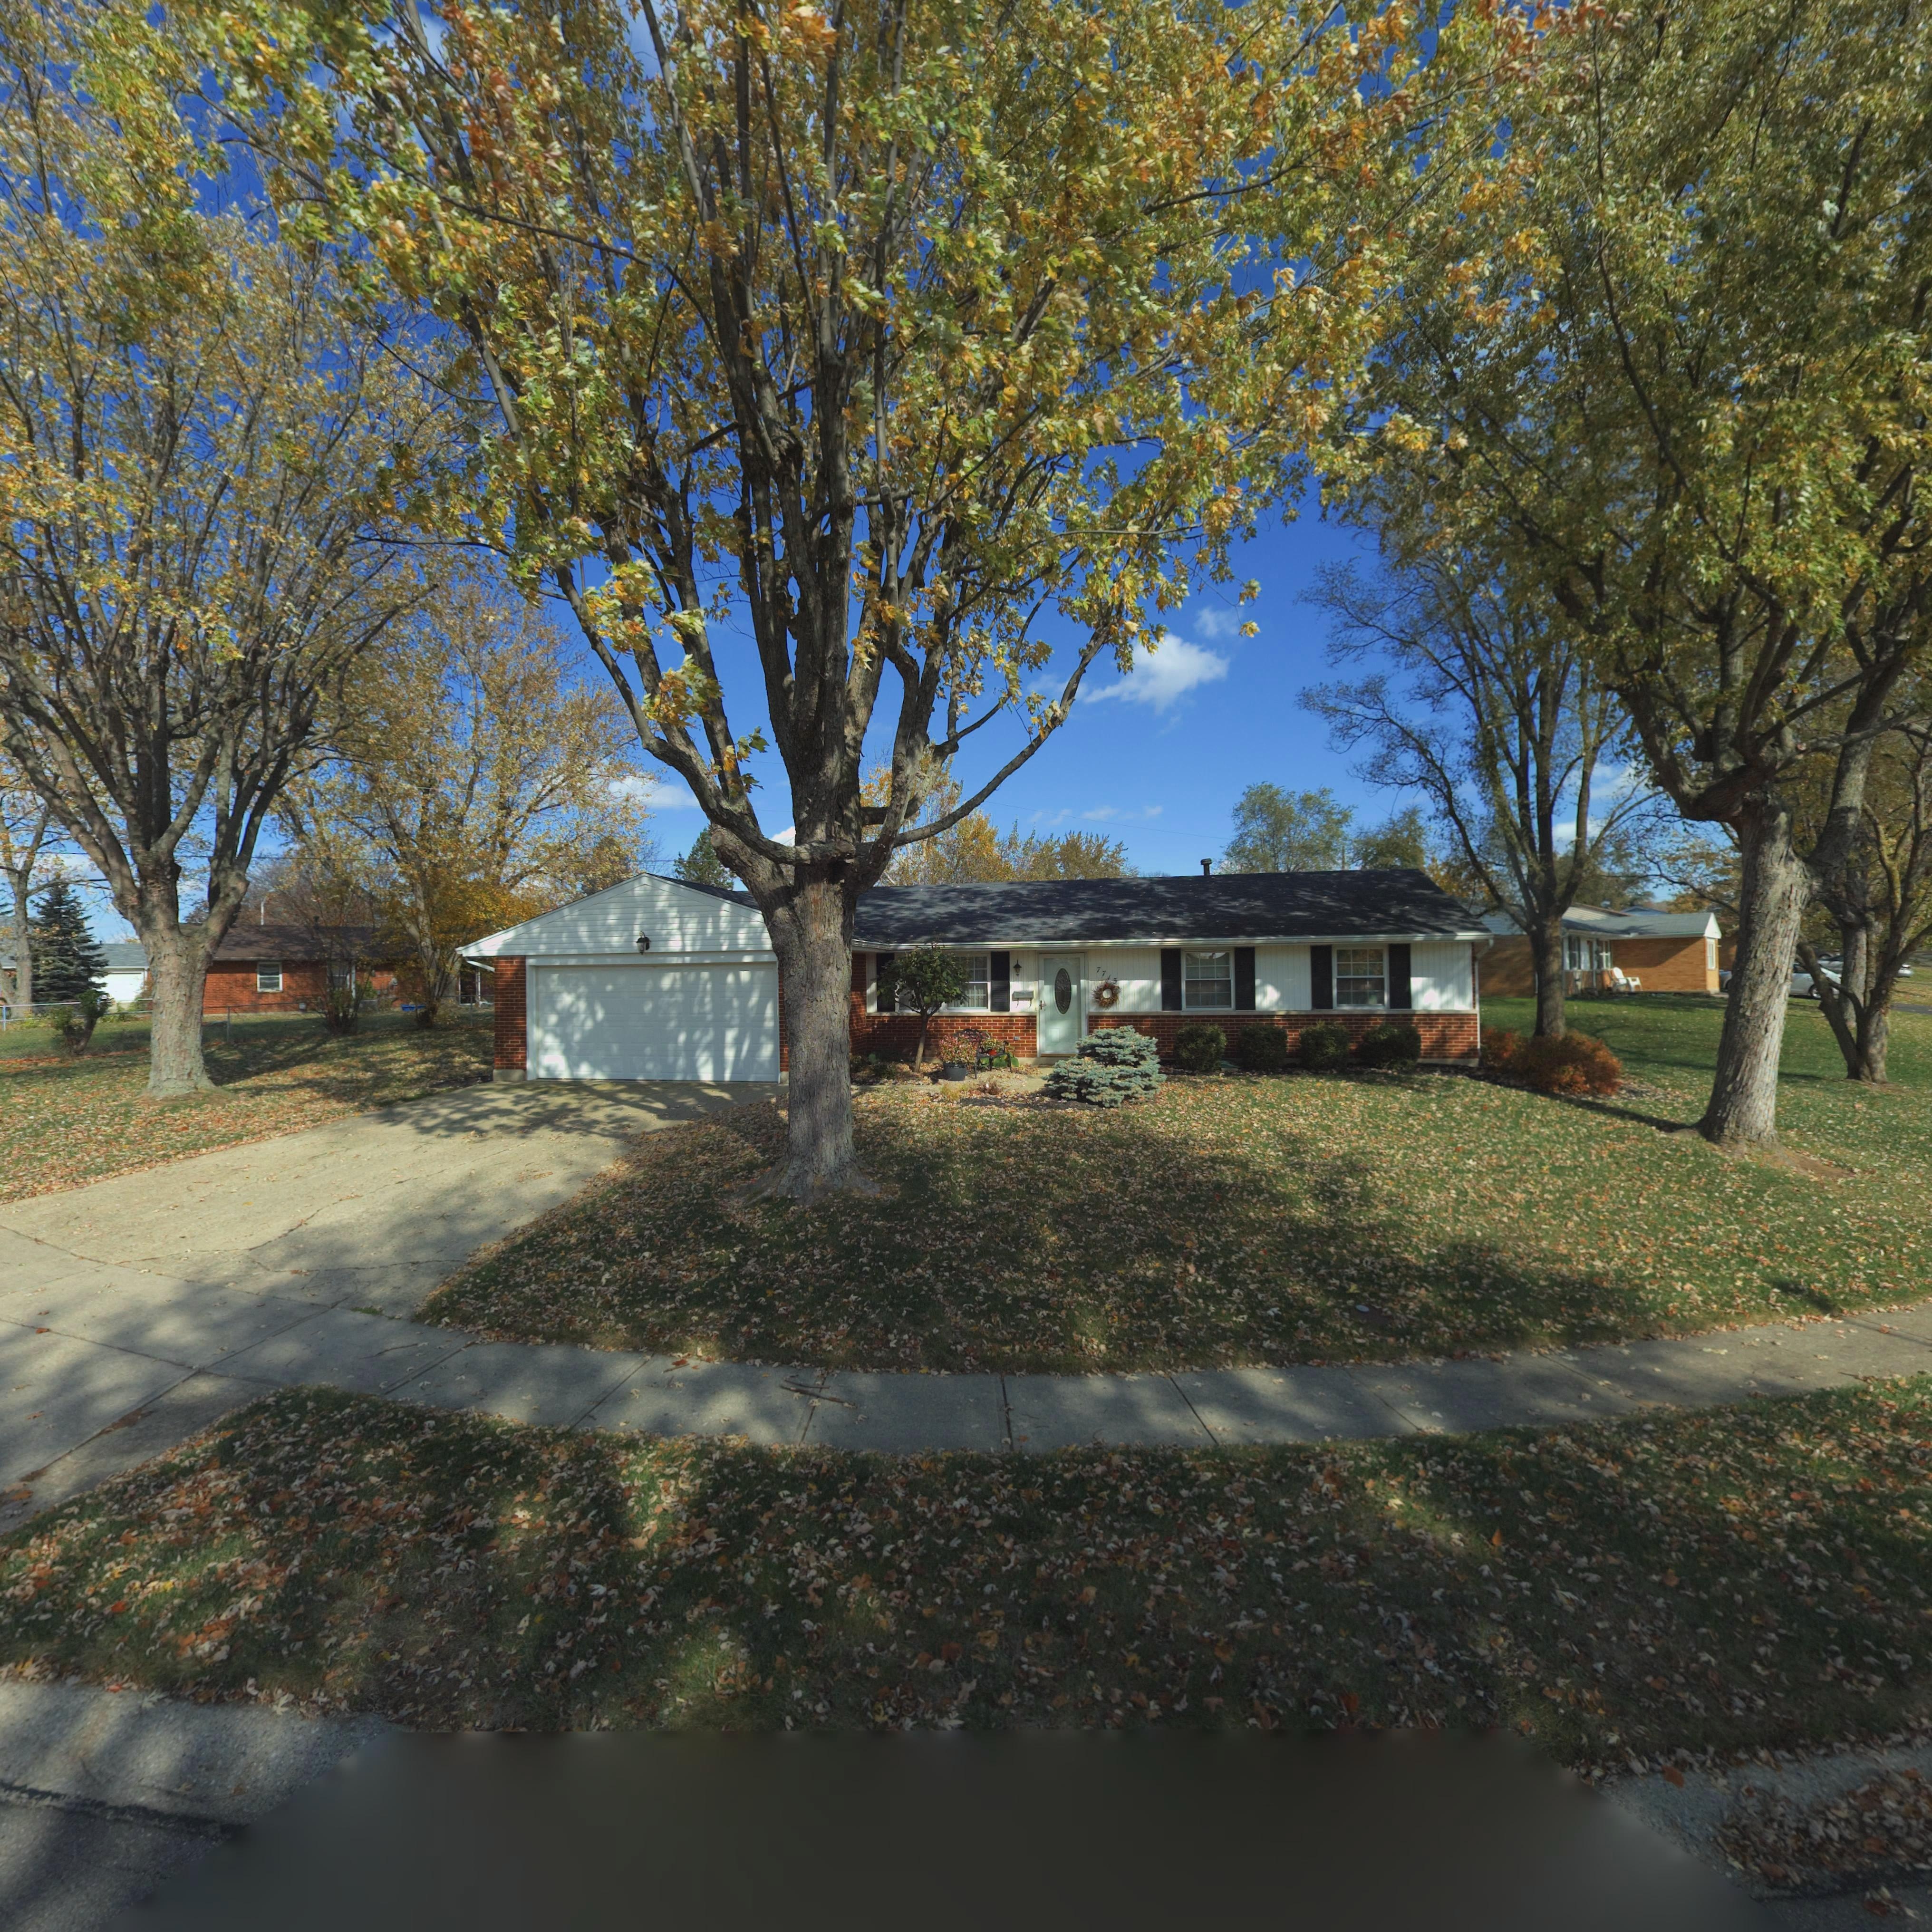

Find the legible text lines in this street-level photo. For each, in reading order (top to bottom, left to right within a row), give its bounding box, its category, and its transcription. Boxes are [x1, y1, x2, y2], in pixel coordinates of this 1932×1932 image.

[1096, 966, 1117, 985] StreetNumber: 7715